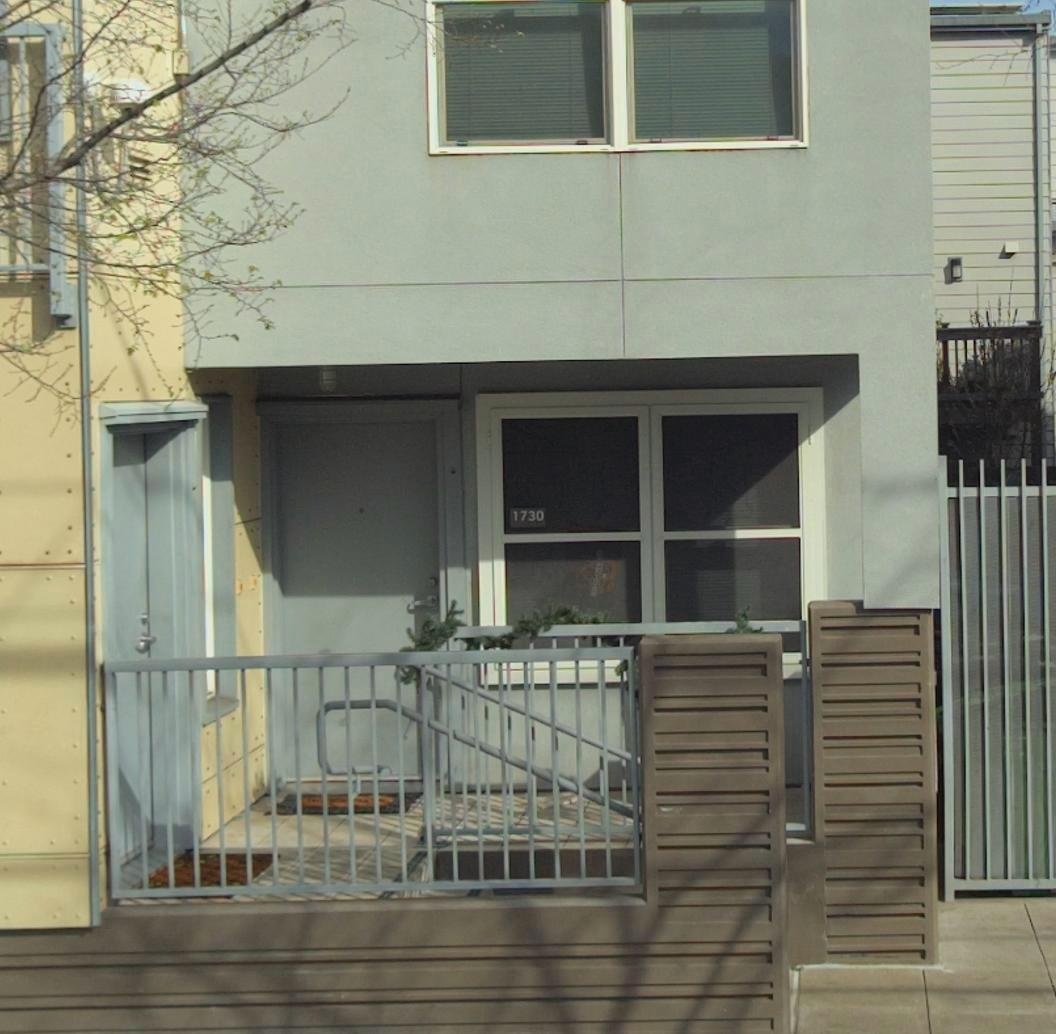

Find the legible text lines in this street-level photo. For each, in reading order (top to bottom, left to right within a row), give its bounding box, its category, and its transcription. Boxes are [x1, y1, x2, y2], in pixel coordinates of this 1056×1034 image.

[511, 508, 546, 524] StreetNumber: 1730